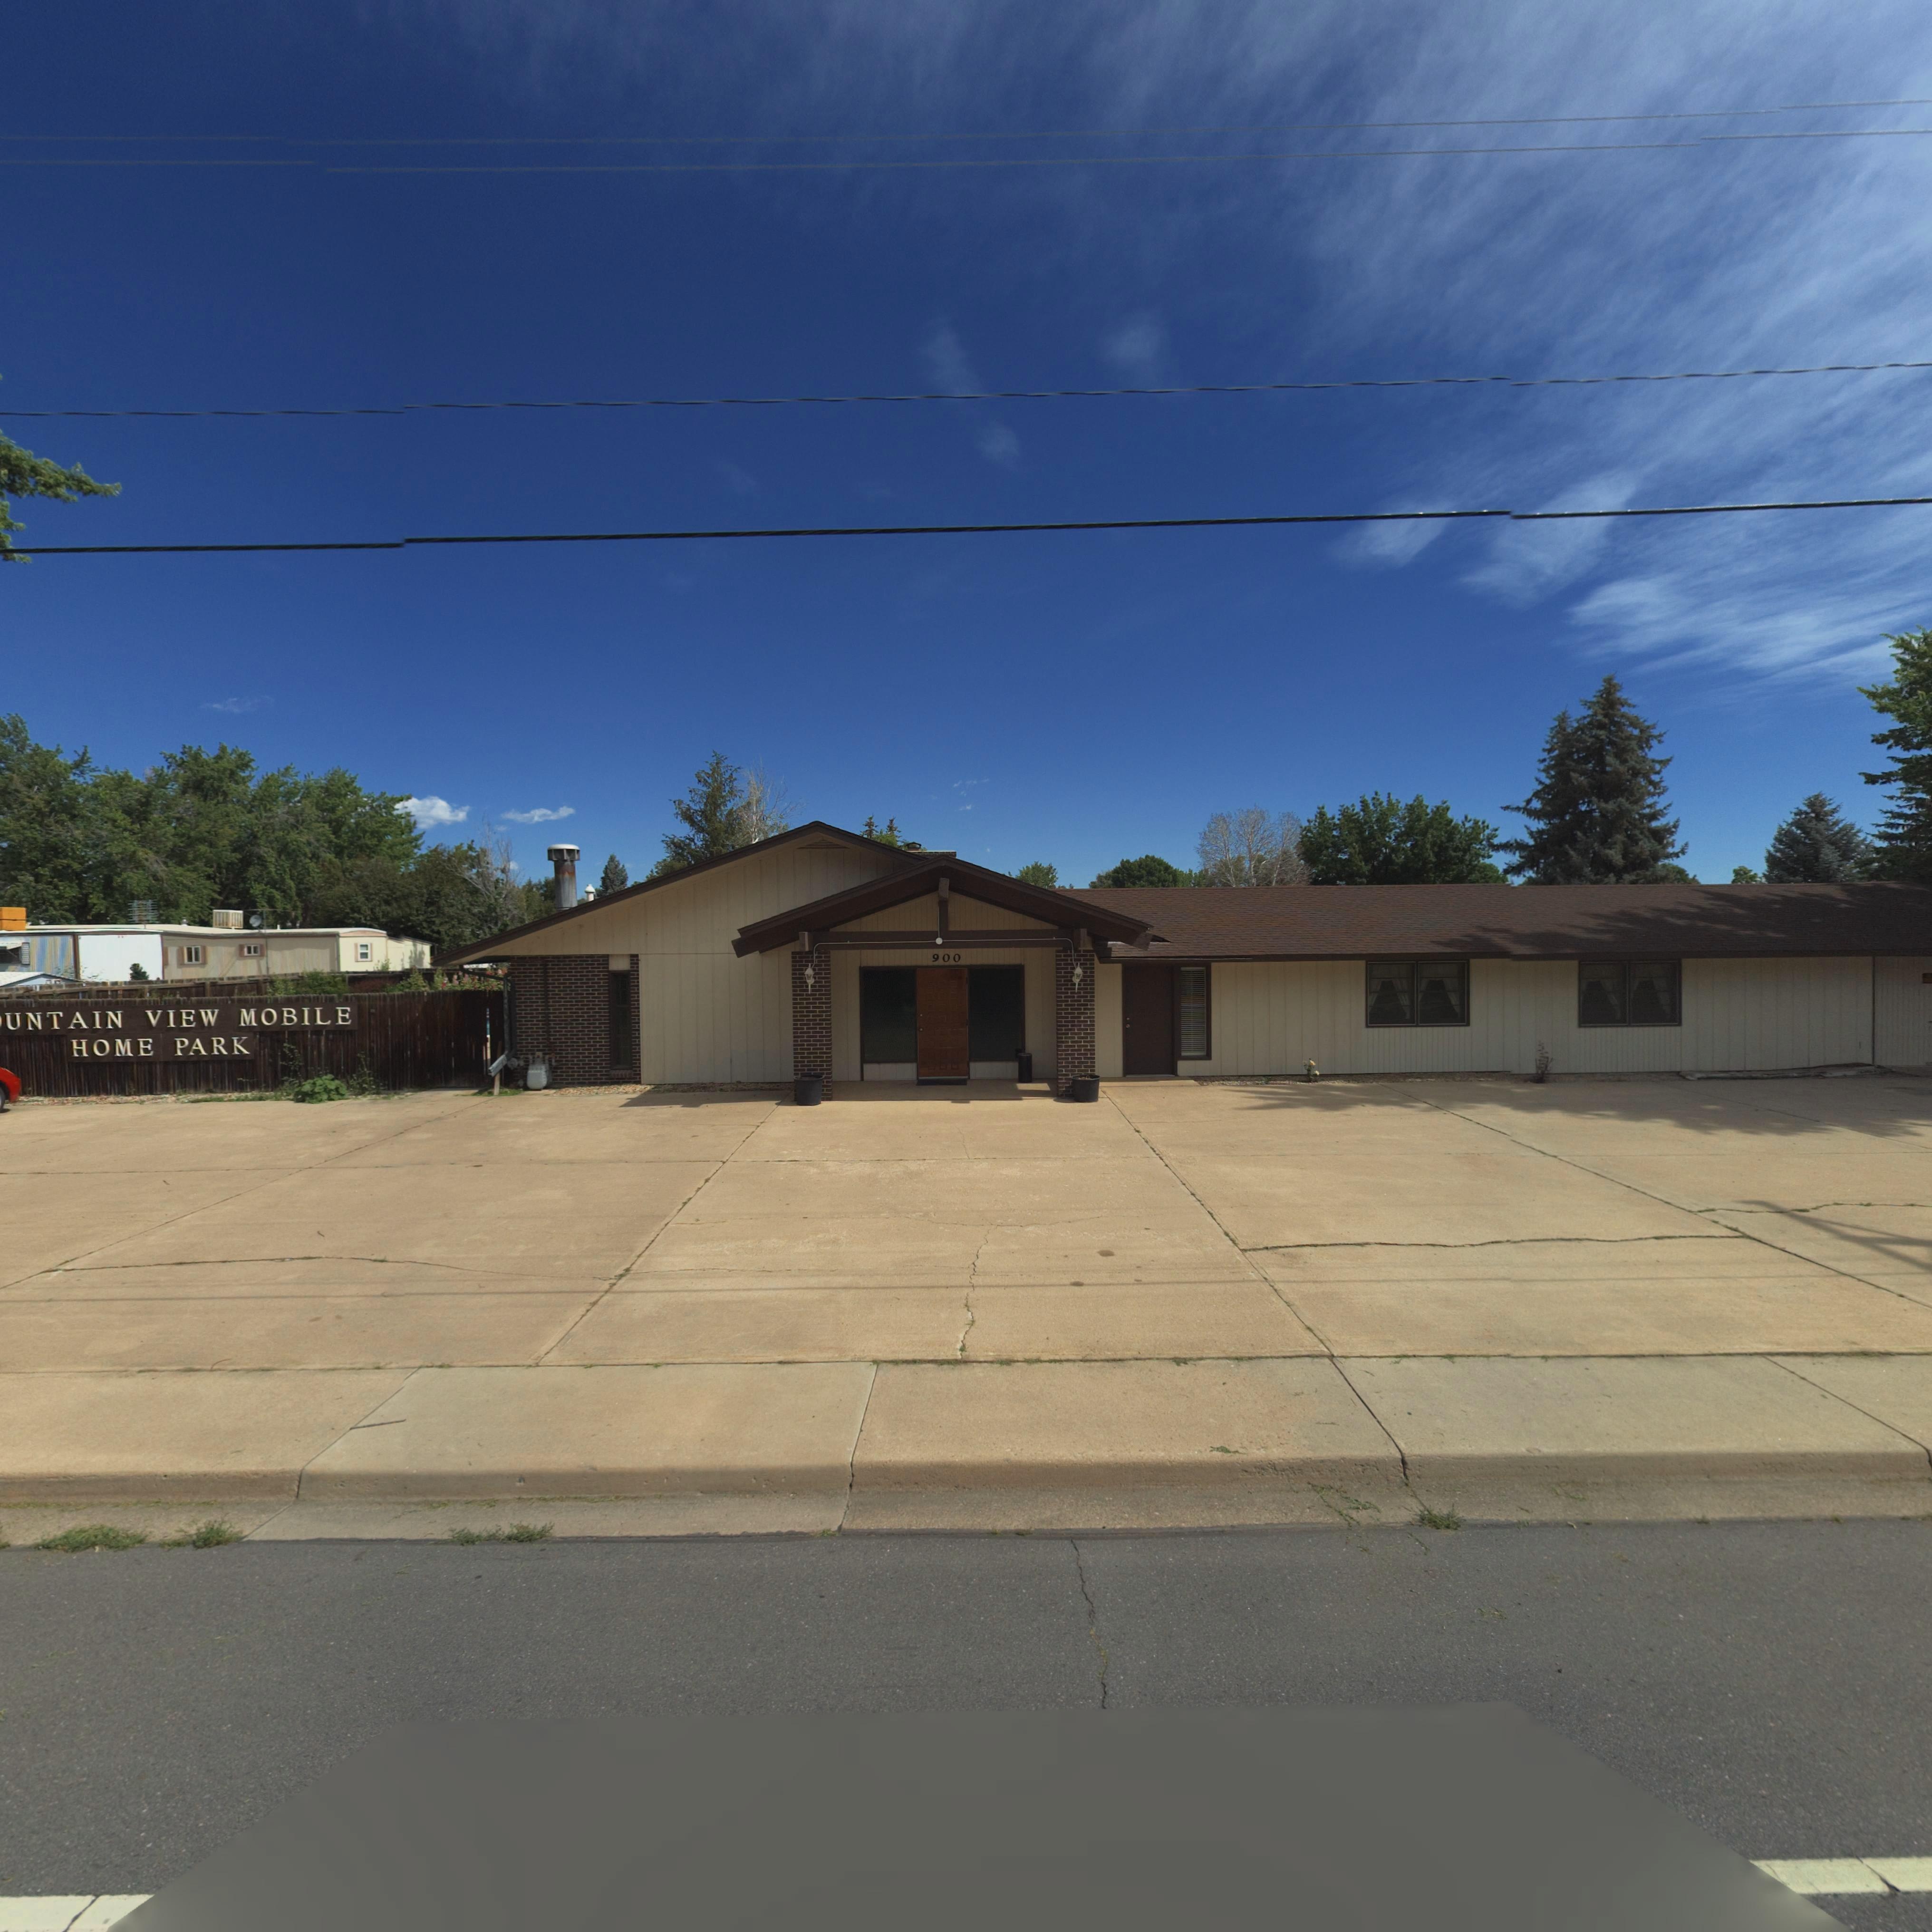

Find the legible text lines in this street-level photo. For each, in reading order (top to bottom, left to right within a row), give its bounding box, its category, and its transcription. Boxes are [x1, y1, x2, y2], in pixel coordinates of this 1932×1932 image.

[930, 953, 961, 963] StreetNumber: 900
[3, 1006, 353, 1031] BusinessName: UNTAIN VIEW MOBILE
[68, 1036, 251, 1058] BusinessName: HOME PARK